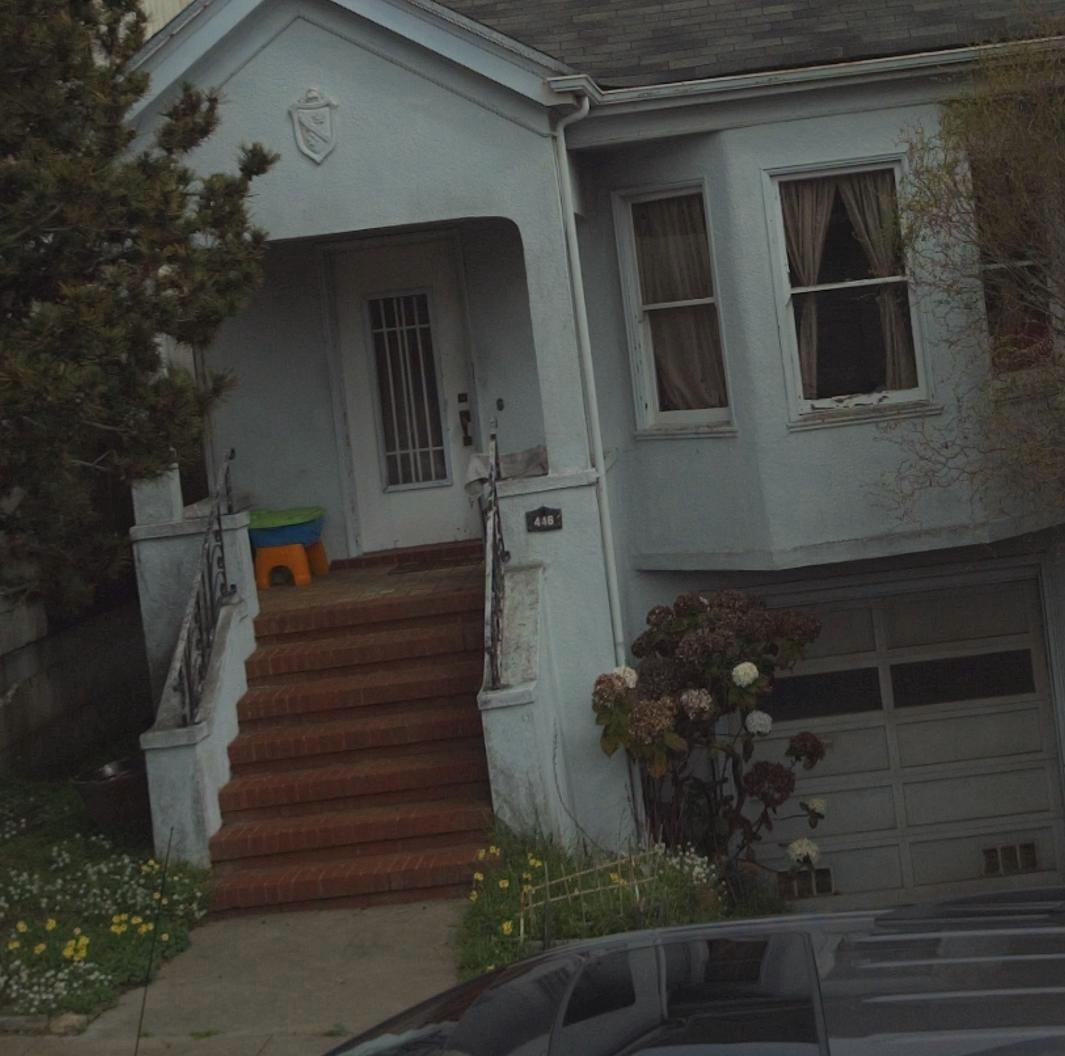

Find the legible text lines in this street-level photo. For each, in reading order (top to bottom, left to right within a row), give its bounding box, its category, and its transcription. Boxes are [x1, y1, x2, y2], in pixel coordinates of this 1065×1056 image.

[533, 514, 555, 528] StreetNumber: 446